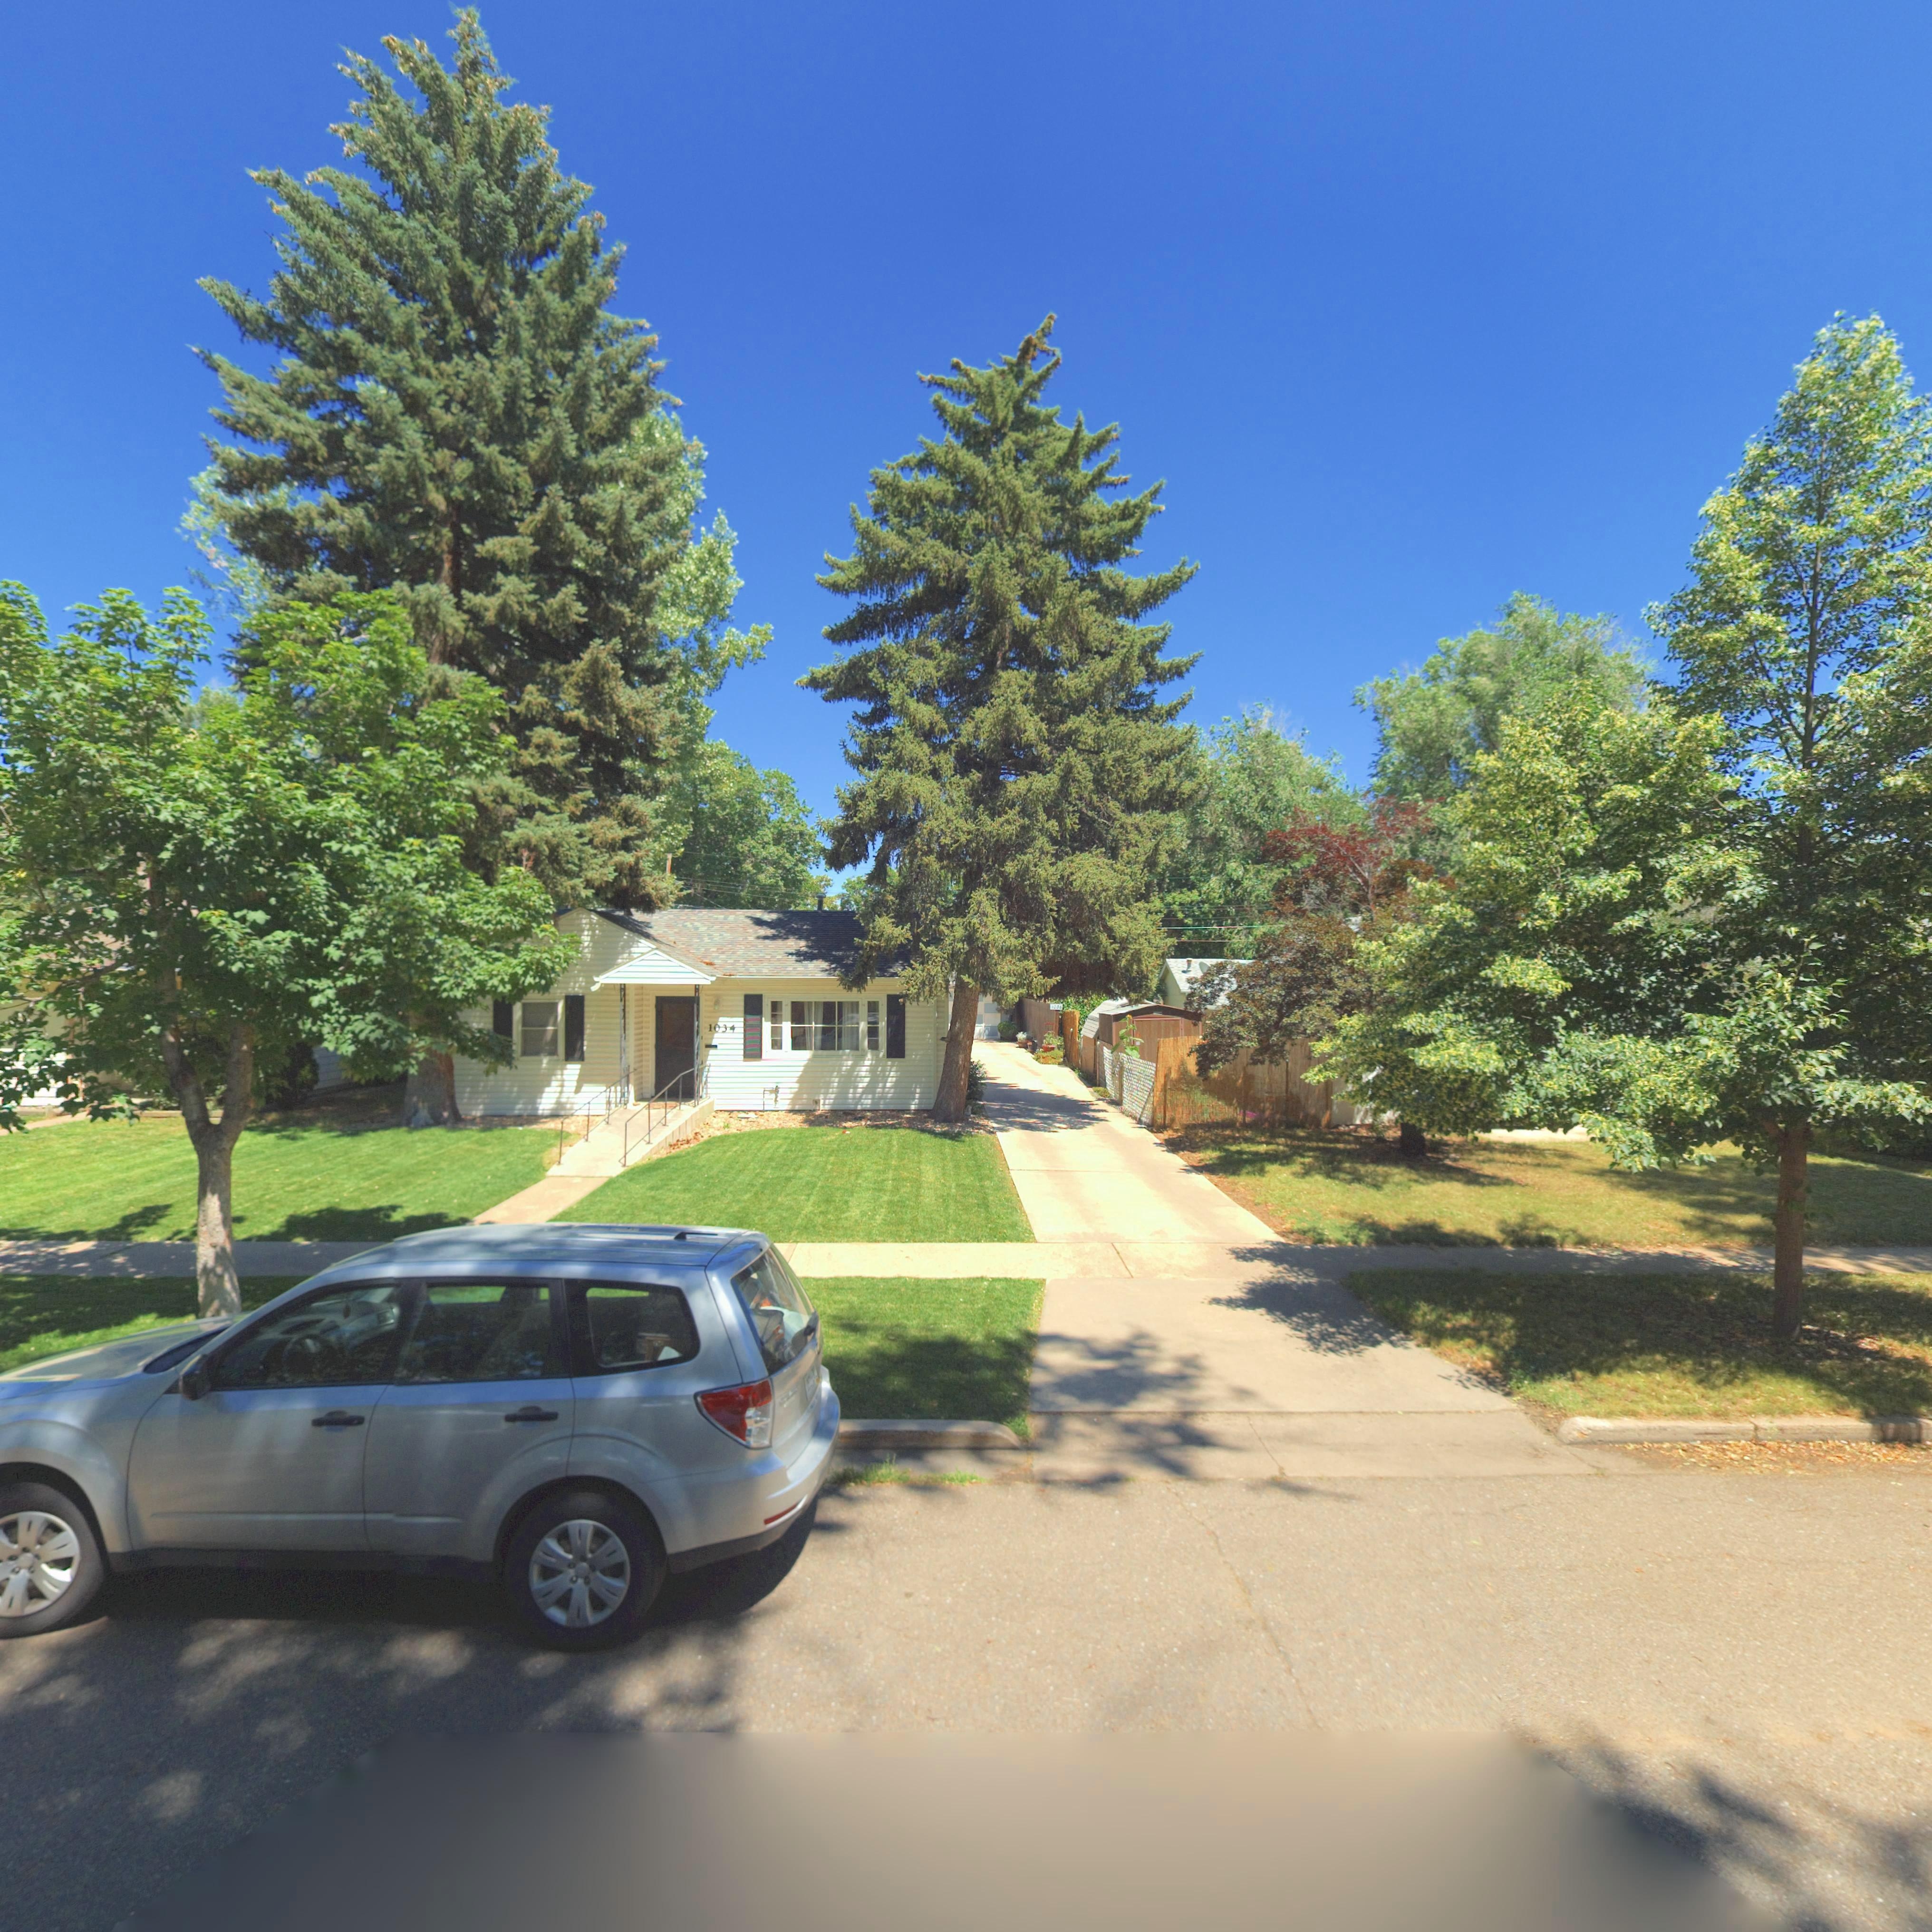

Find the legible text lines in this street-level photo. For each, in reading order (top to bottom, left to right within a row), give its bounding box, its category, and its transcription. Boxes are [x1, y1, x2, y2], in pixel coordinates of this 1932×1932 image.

[708, 1023, 736, 1034] StreetNumber: 1034